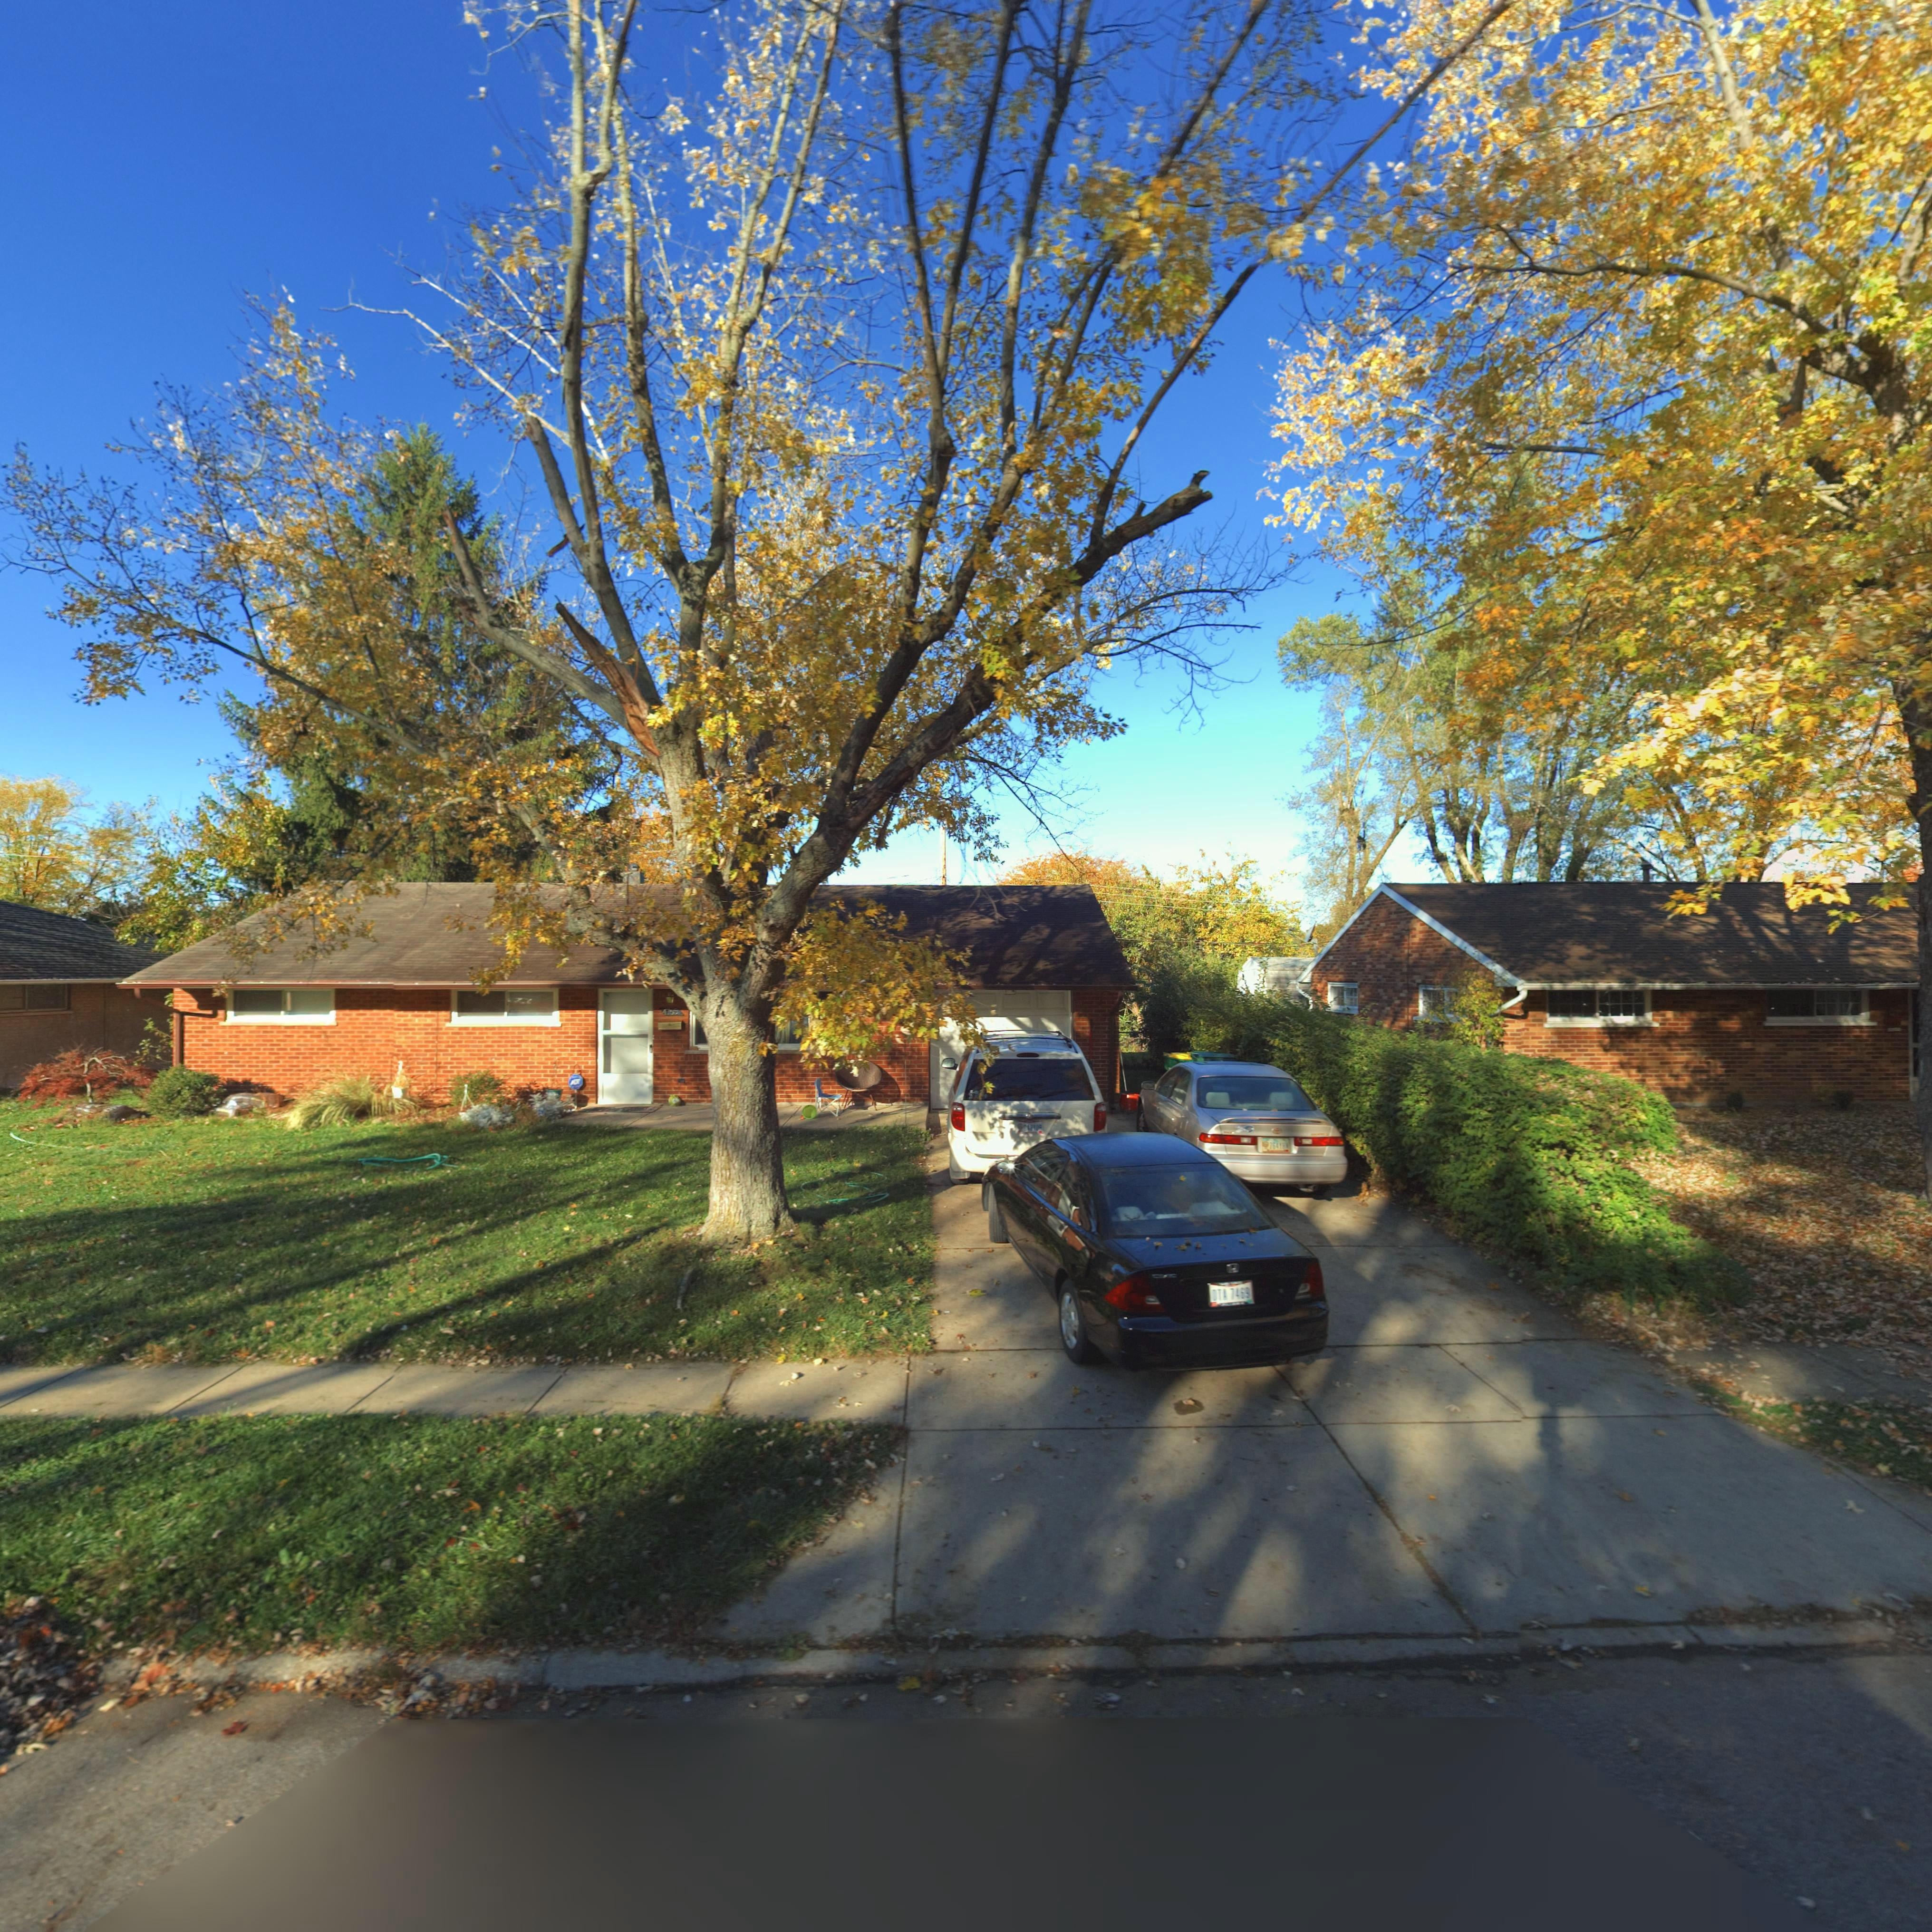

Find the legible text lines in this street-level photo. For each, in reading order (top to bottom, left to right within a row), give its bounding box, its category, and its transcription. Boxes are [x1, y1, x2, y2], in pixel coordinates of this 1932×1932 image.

[661, 1007, 679, 1015] StreetNumber: 4765